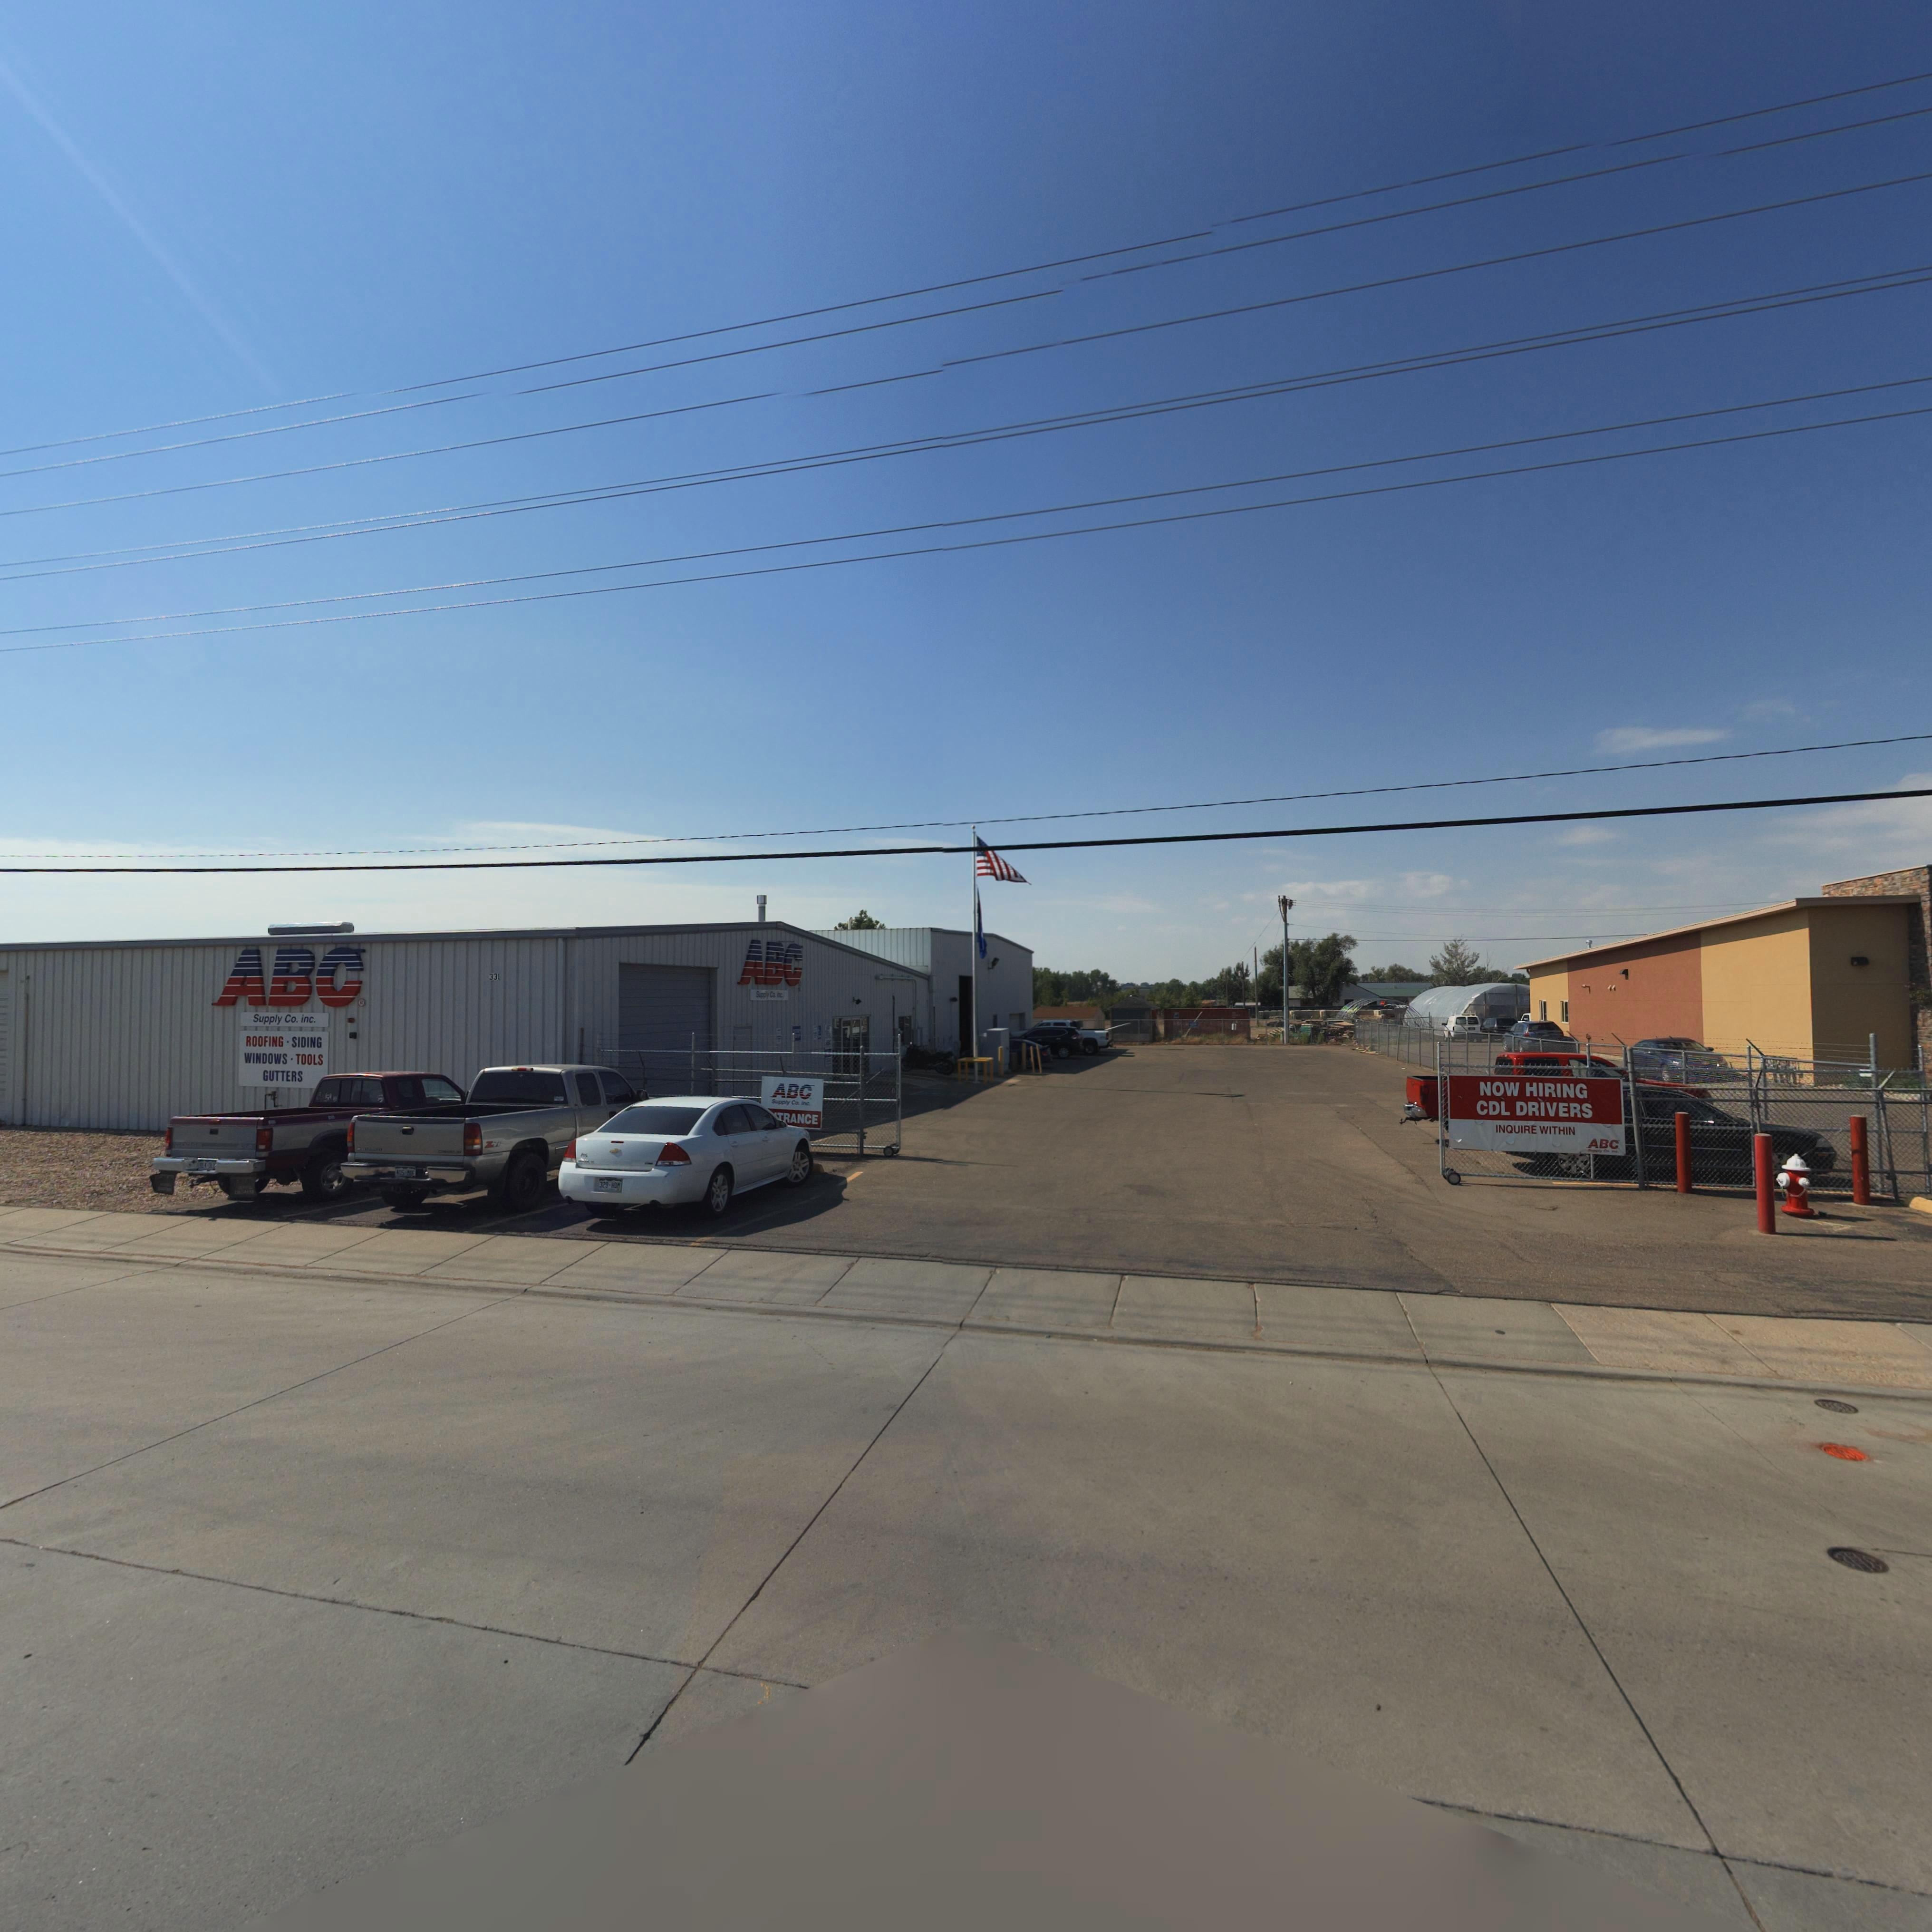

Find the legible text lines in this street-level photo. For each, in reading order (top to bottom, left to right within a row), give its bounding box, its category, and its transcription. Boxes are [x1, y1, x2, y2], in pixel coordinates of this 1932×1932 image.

[210, 946, 366, 1008] BusinessName: ABC
[489, 973, 500, 980] StreetNumber: 331
[736, 938, 803, 987] BusinessName: ABC
[769, 1082, 815, 1100] BusinessName: ABC